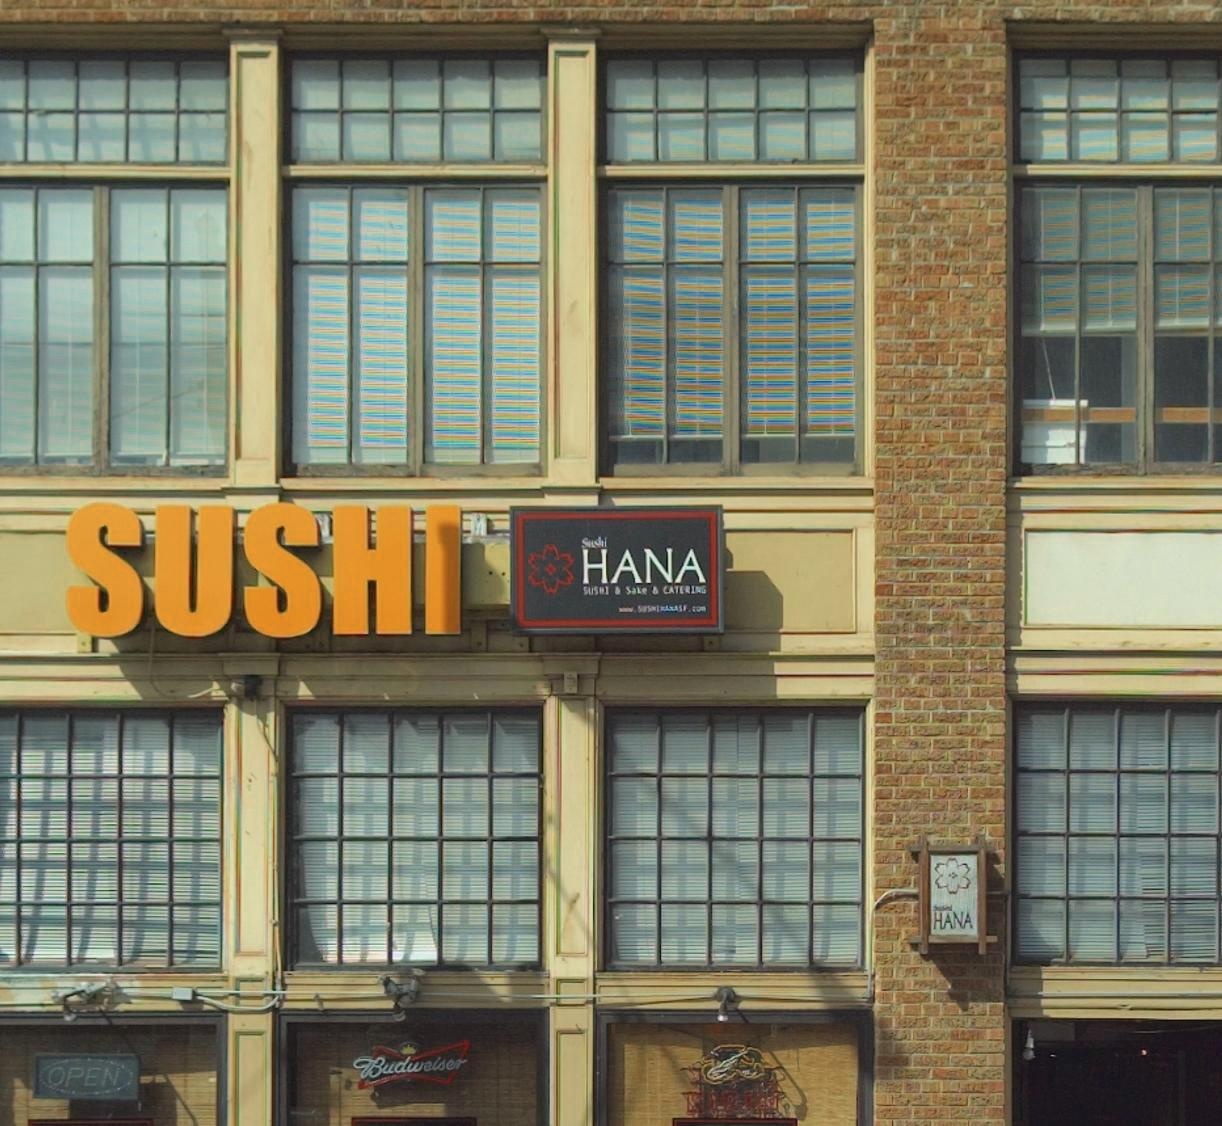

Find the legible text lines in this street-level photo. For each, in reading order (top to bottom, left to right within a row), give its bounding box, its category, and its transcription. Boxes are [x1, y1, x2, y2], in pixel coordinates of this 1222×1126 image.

[61, 499, 466, 644] BusinessName: SUSHI
[579, 546, 712, 586] BusinessName: HANA
[581, 583, 710, 599] None: SUSHI *Sa*e & CATERING
[931, 908, 976, 934] BusinessName: HANA
[45, 1065, 124, 1089] None: OPEN
[359, 1053, 472, 1081] None: Budweiser